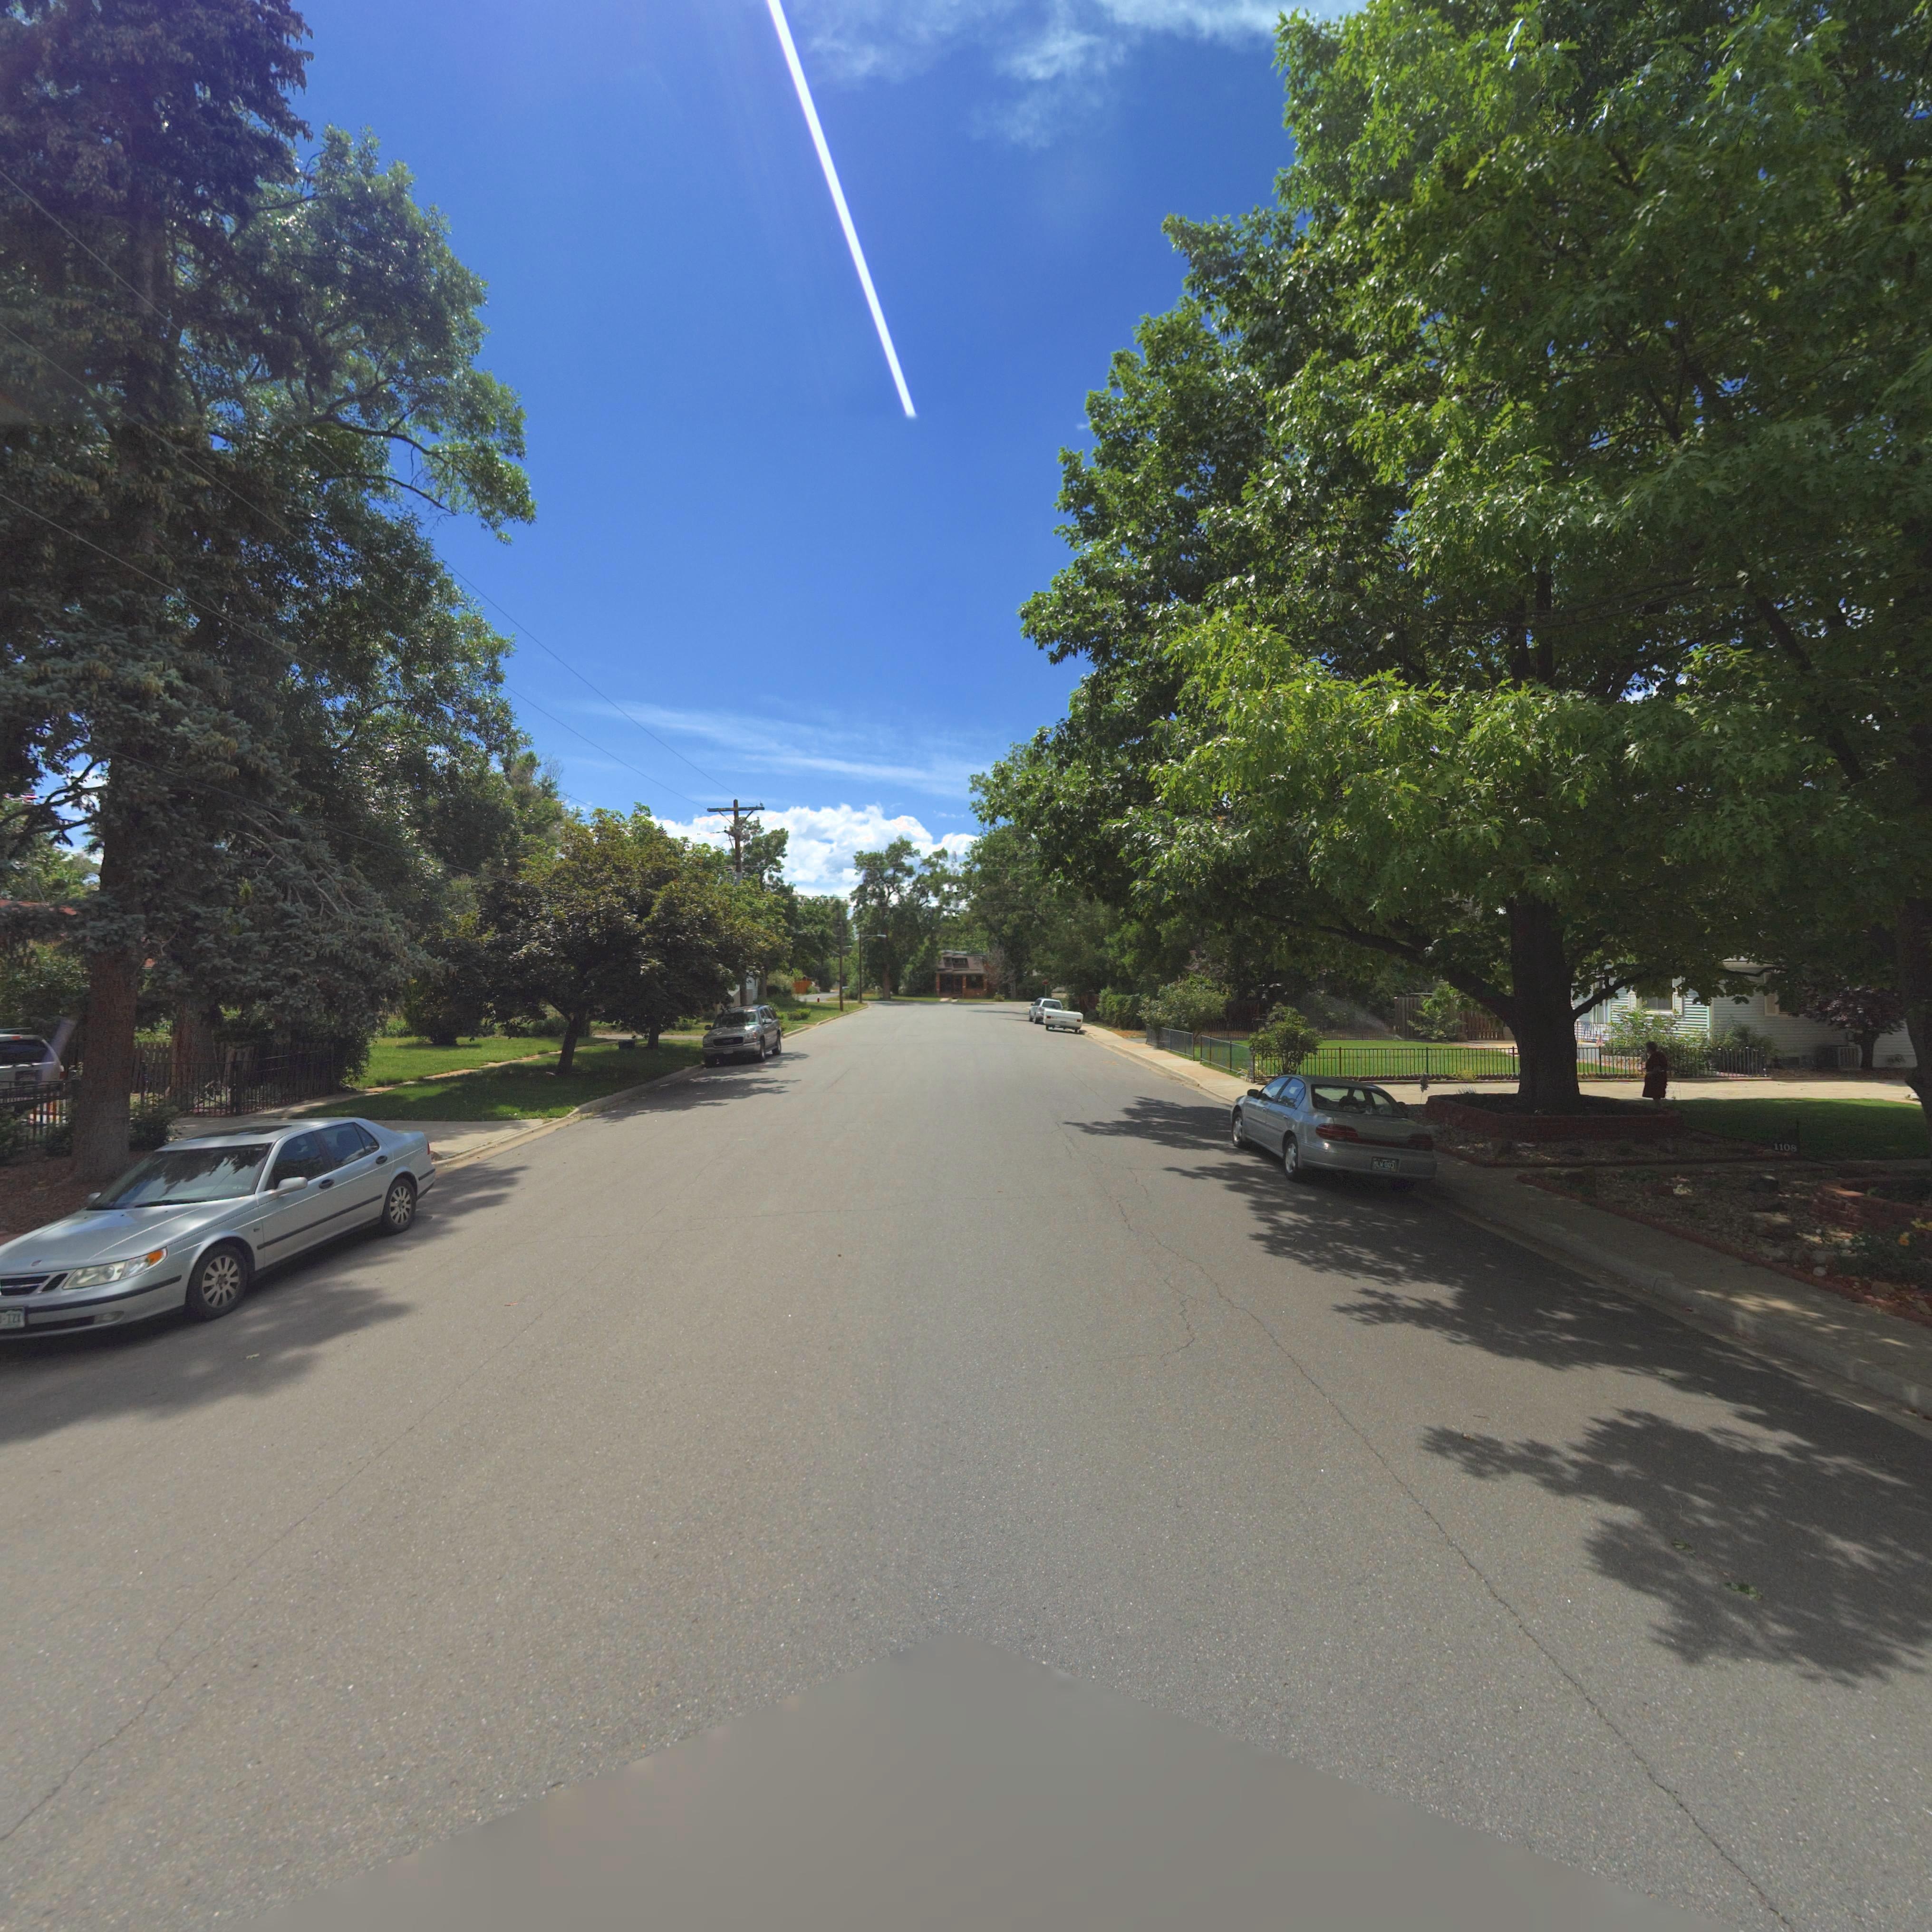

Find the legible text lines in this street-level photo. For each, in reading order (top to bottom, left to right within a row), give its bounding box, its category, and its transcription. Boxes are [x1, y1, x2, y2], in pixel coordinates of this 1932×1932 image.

[1773, 1142, 1797, 1152] StreetNumber: 1108